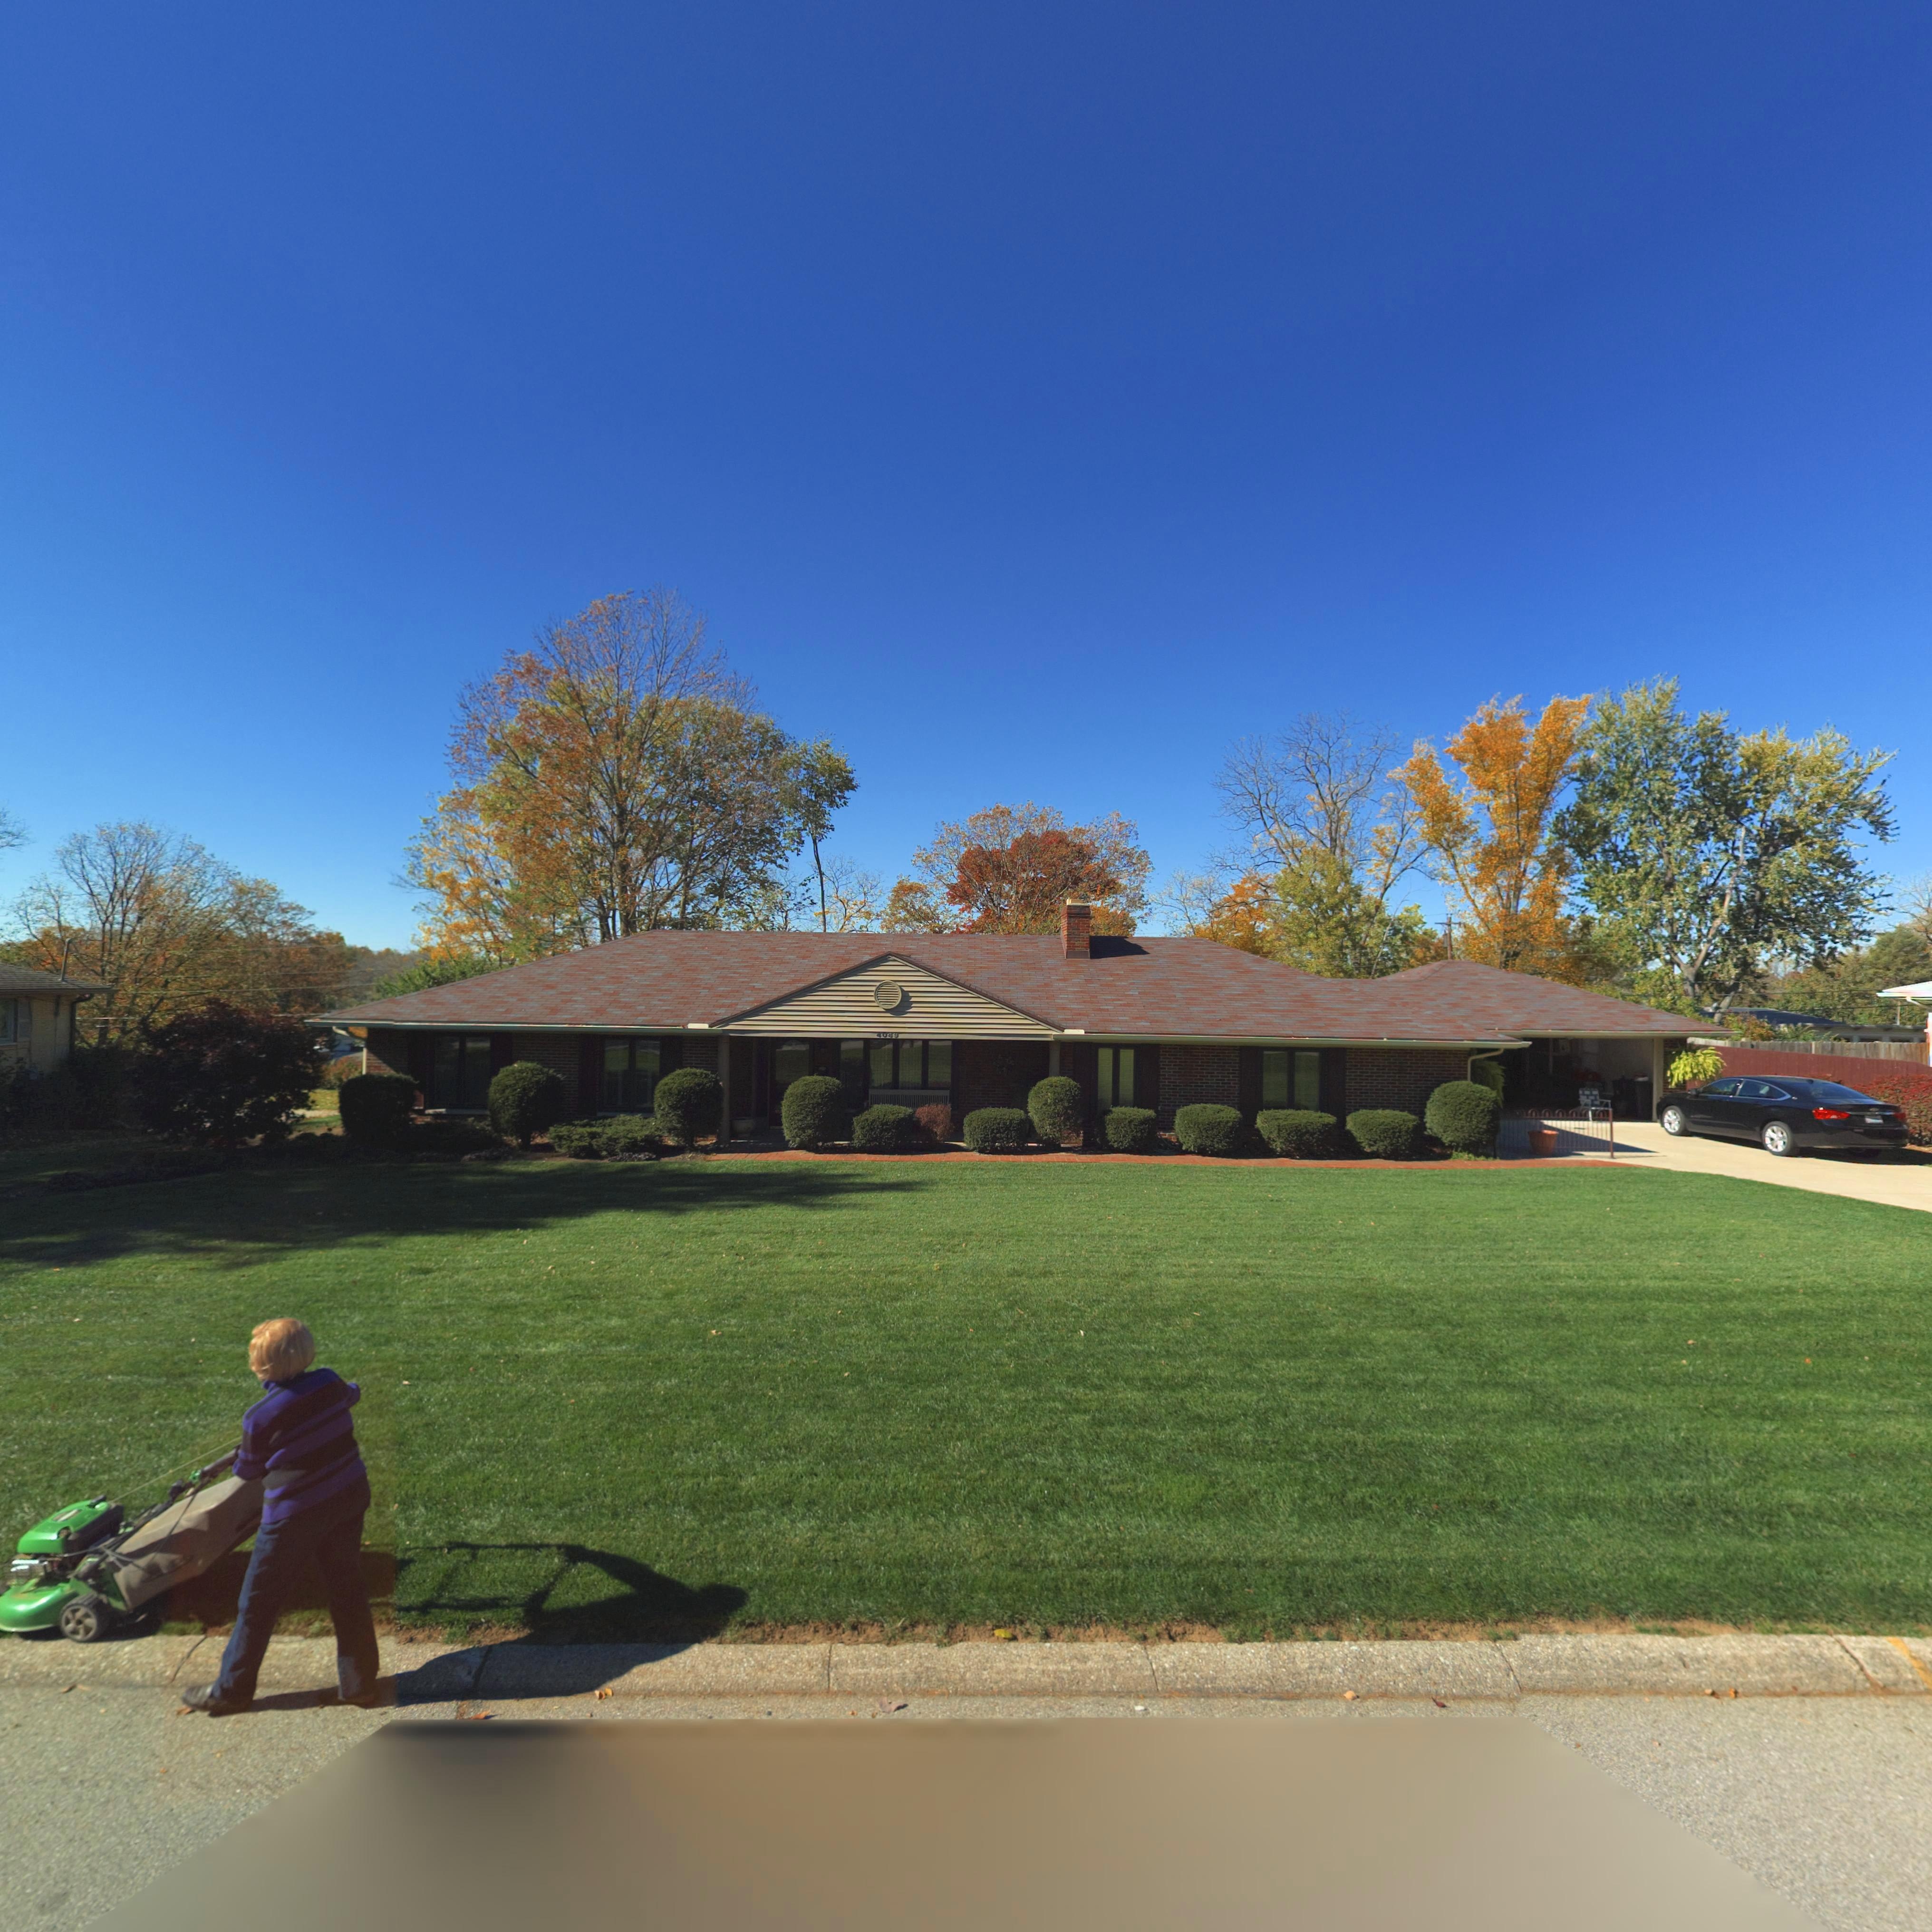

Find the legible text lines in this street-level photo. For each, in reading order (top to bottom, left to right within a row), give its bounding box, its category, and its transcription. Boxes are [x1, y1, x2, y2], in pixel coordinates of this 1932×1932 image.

[875, 1032, 900, 1039] StreetNumber: 4049